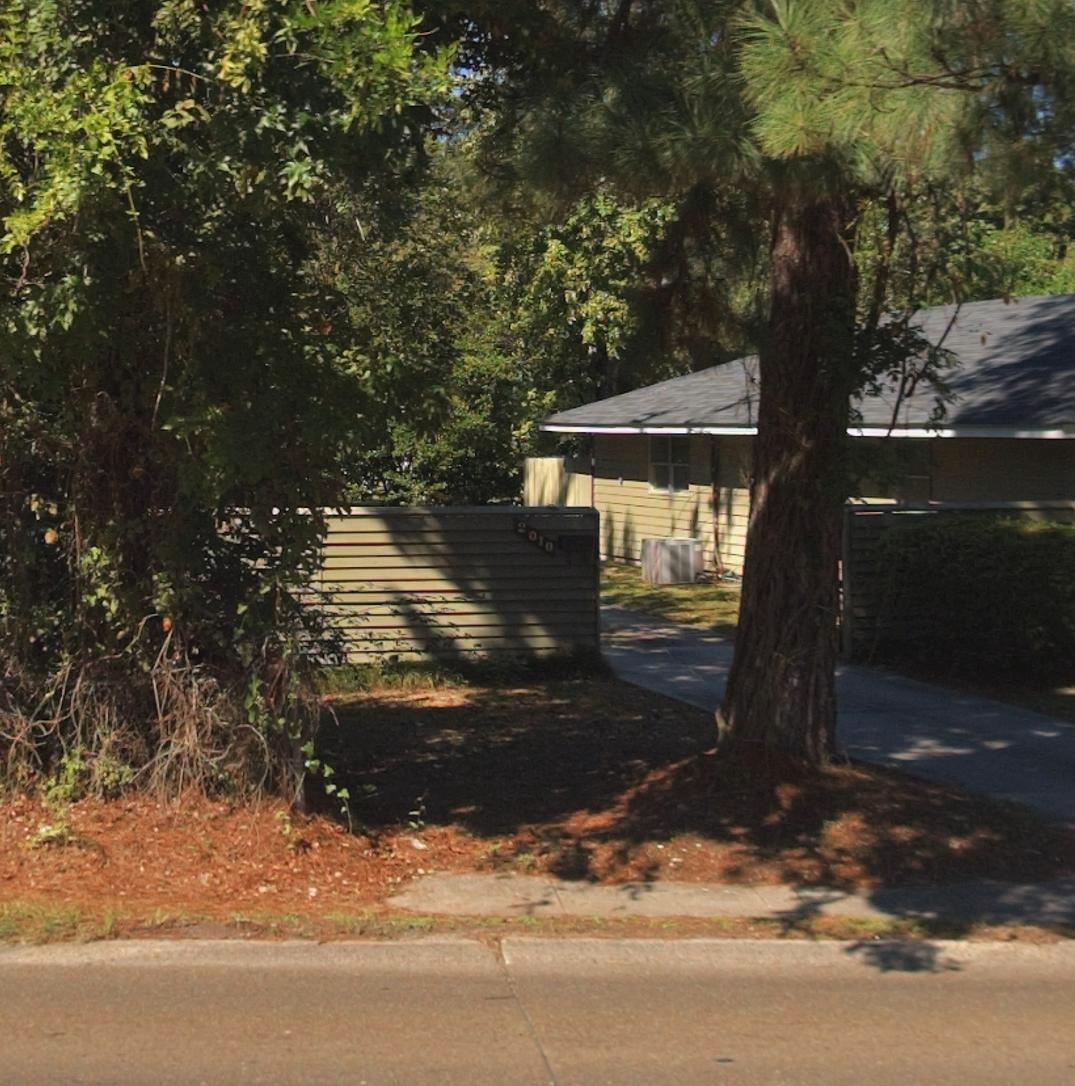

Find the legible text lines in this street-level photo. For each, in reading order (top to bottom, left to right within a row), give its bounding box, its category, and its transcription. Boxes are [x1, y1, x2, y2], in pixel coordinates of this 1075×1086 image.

[514, 519, 556, 556] StreetNumber: 2010